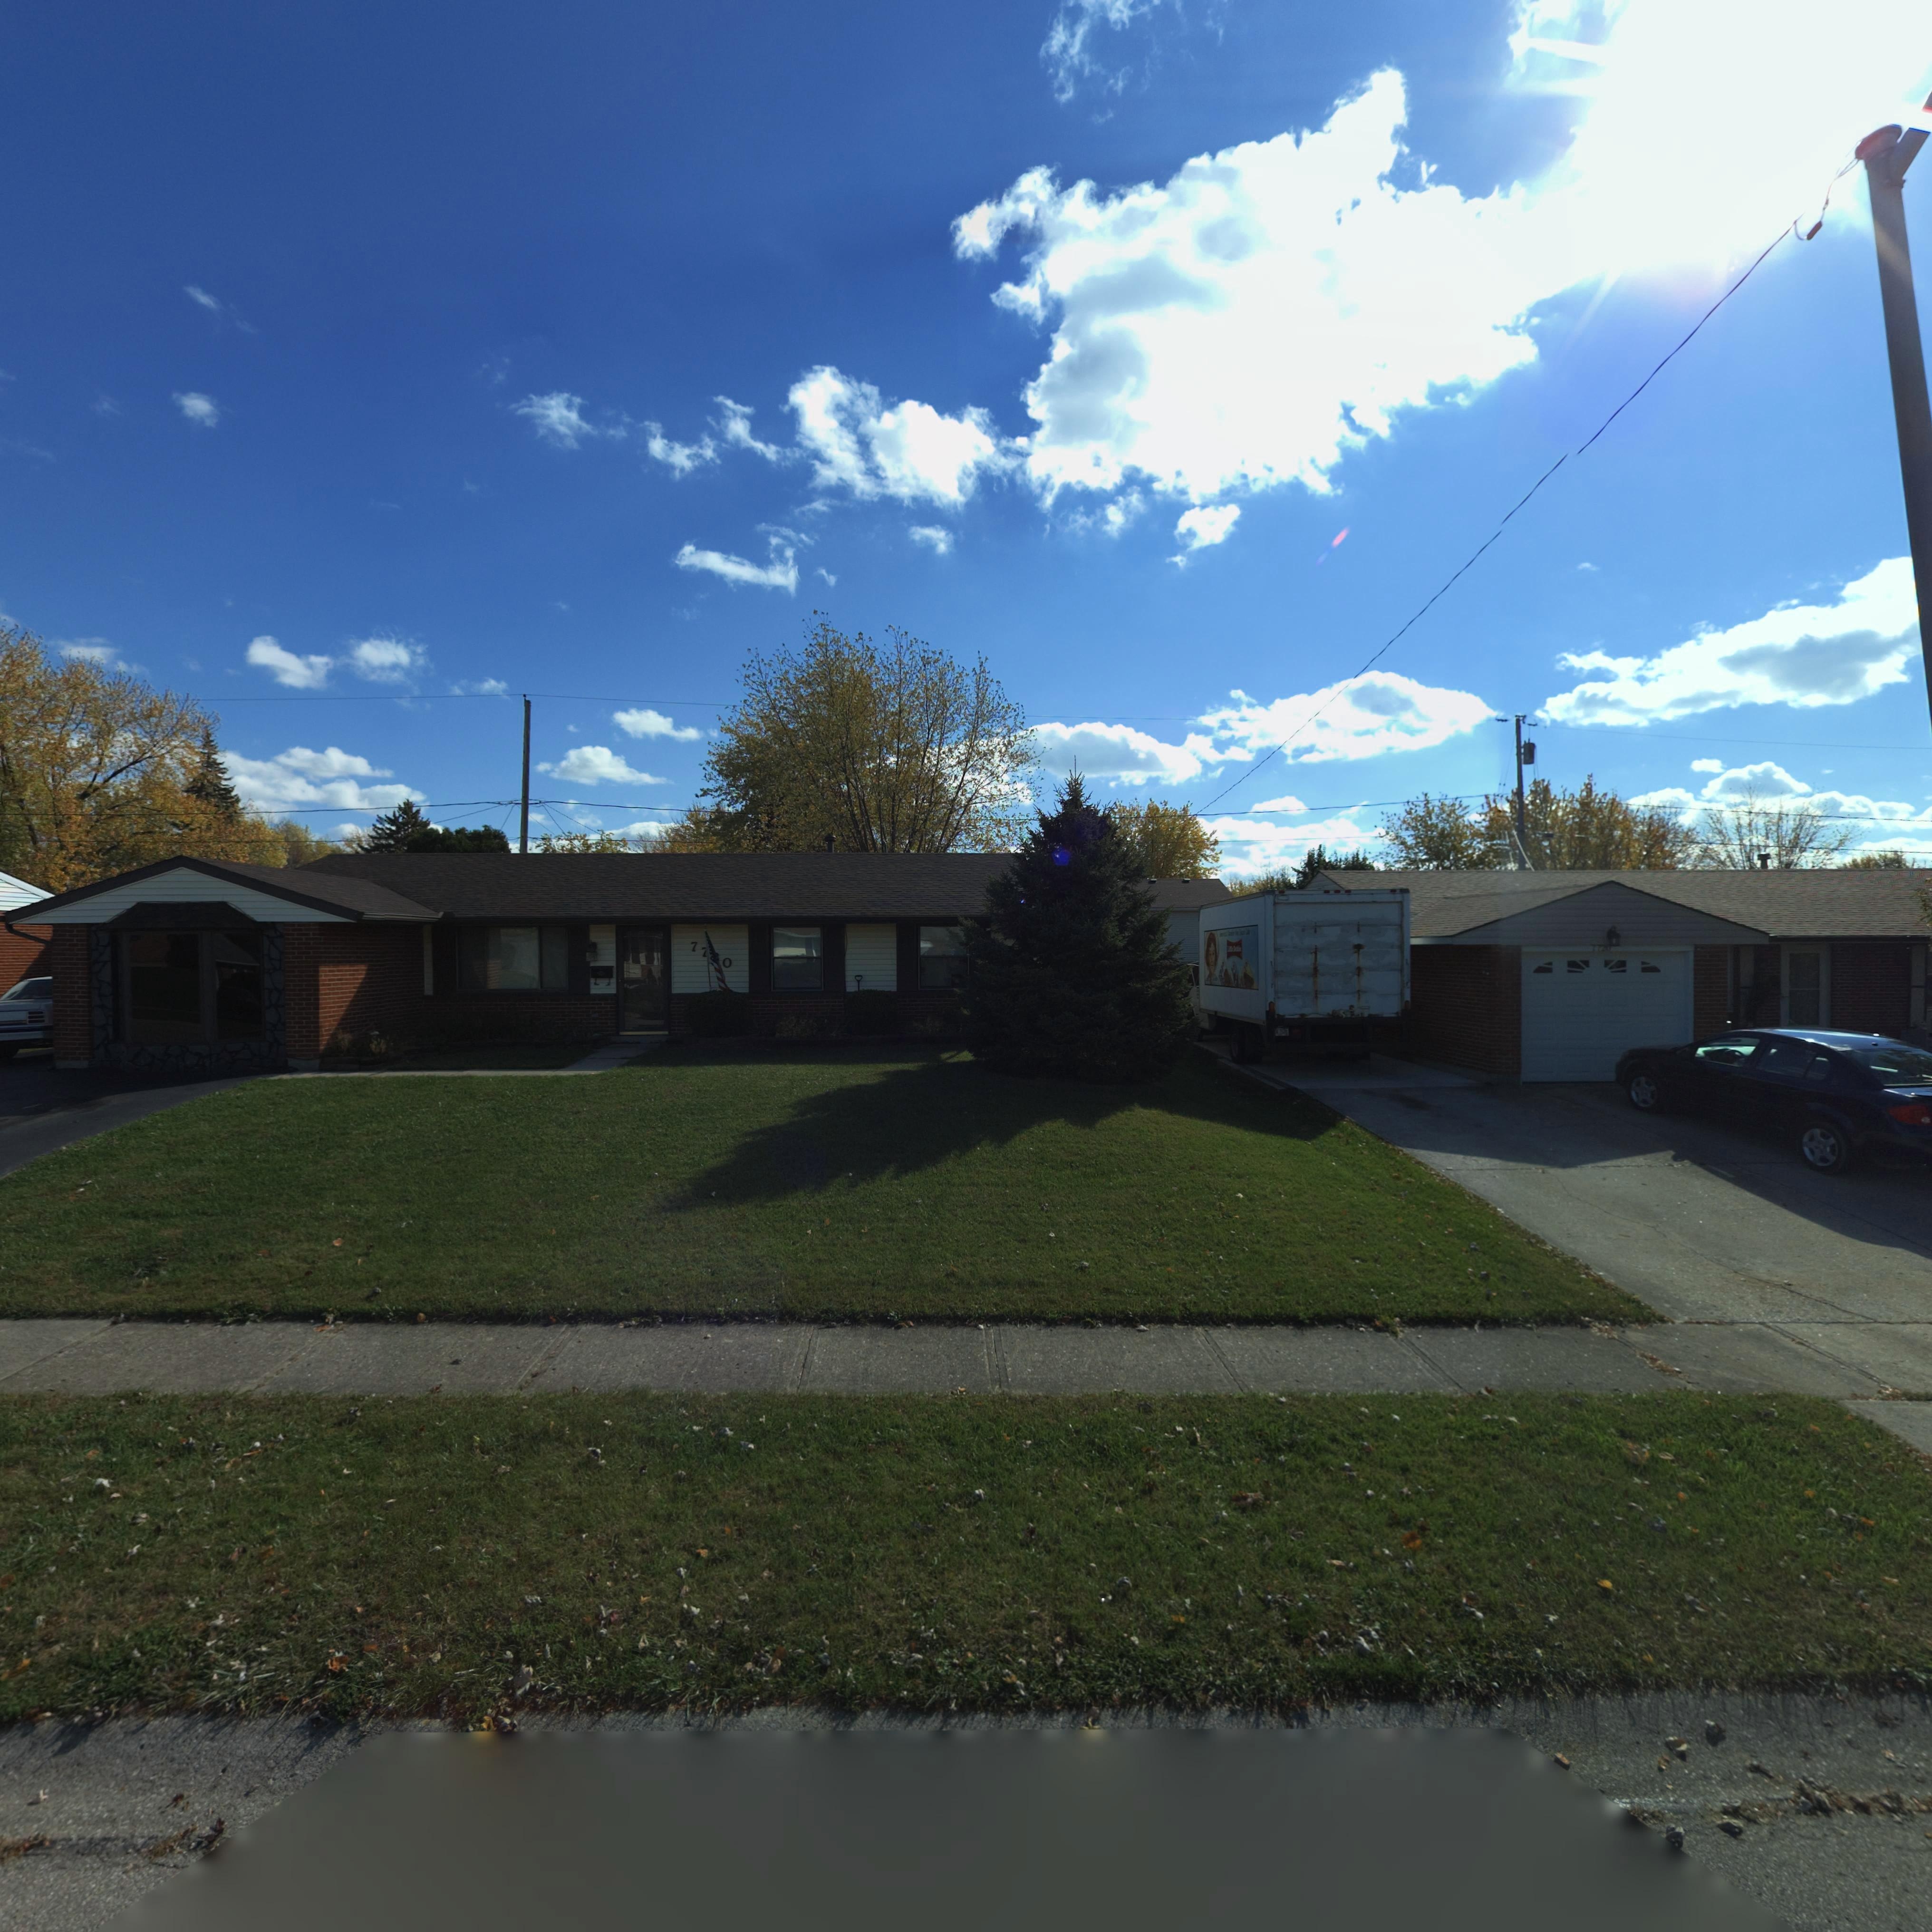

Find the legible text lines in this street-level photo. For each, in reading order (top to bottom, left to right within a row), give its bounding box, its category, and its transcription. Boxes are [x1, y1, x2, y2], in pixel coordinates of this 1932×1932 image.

[690, 941, 733, 969] StreetNumber: 7**0
[1590, 944, 1612, 952] StreetNumber: 7720